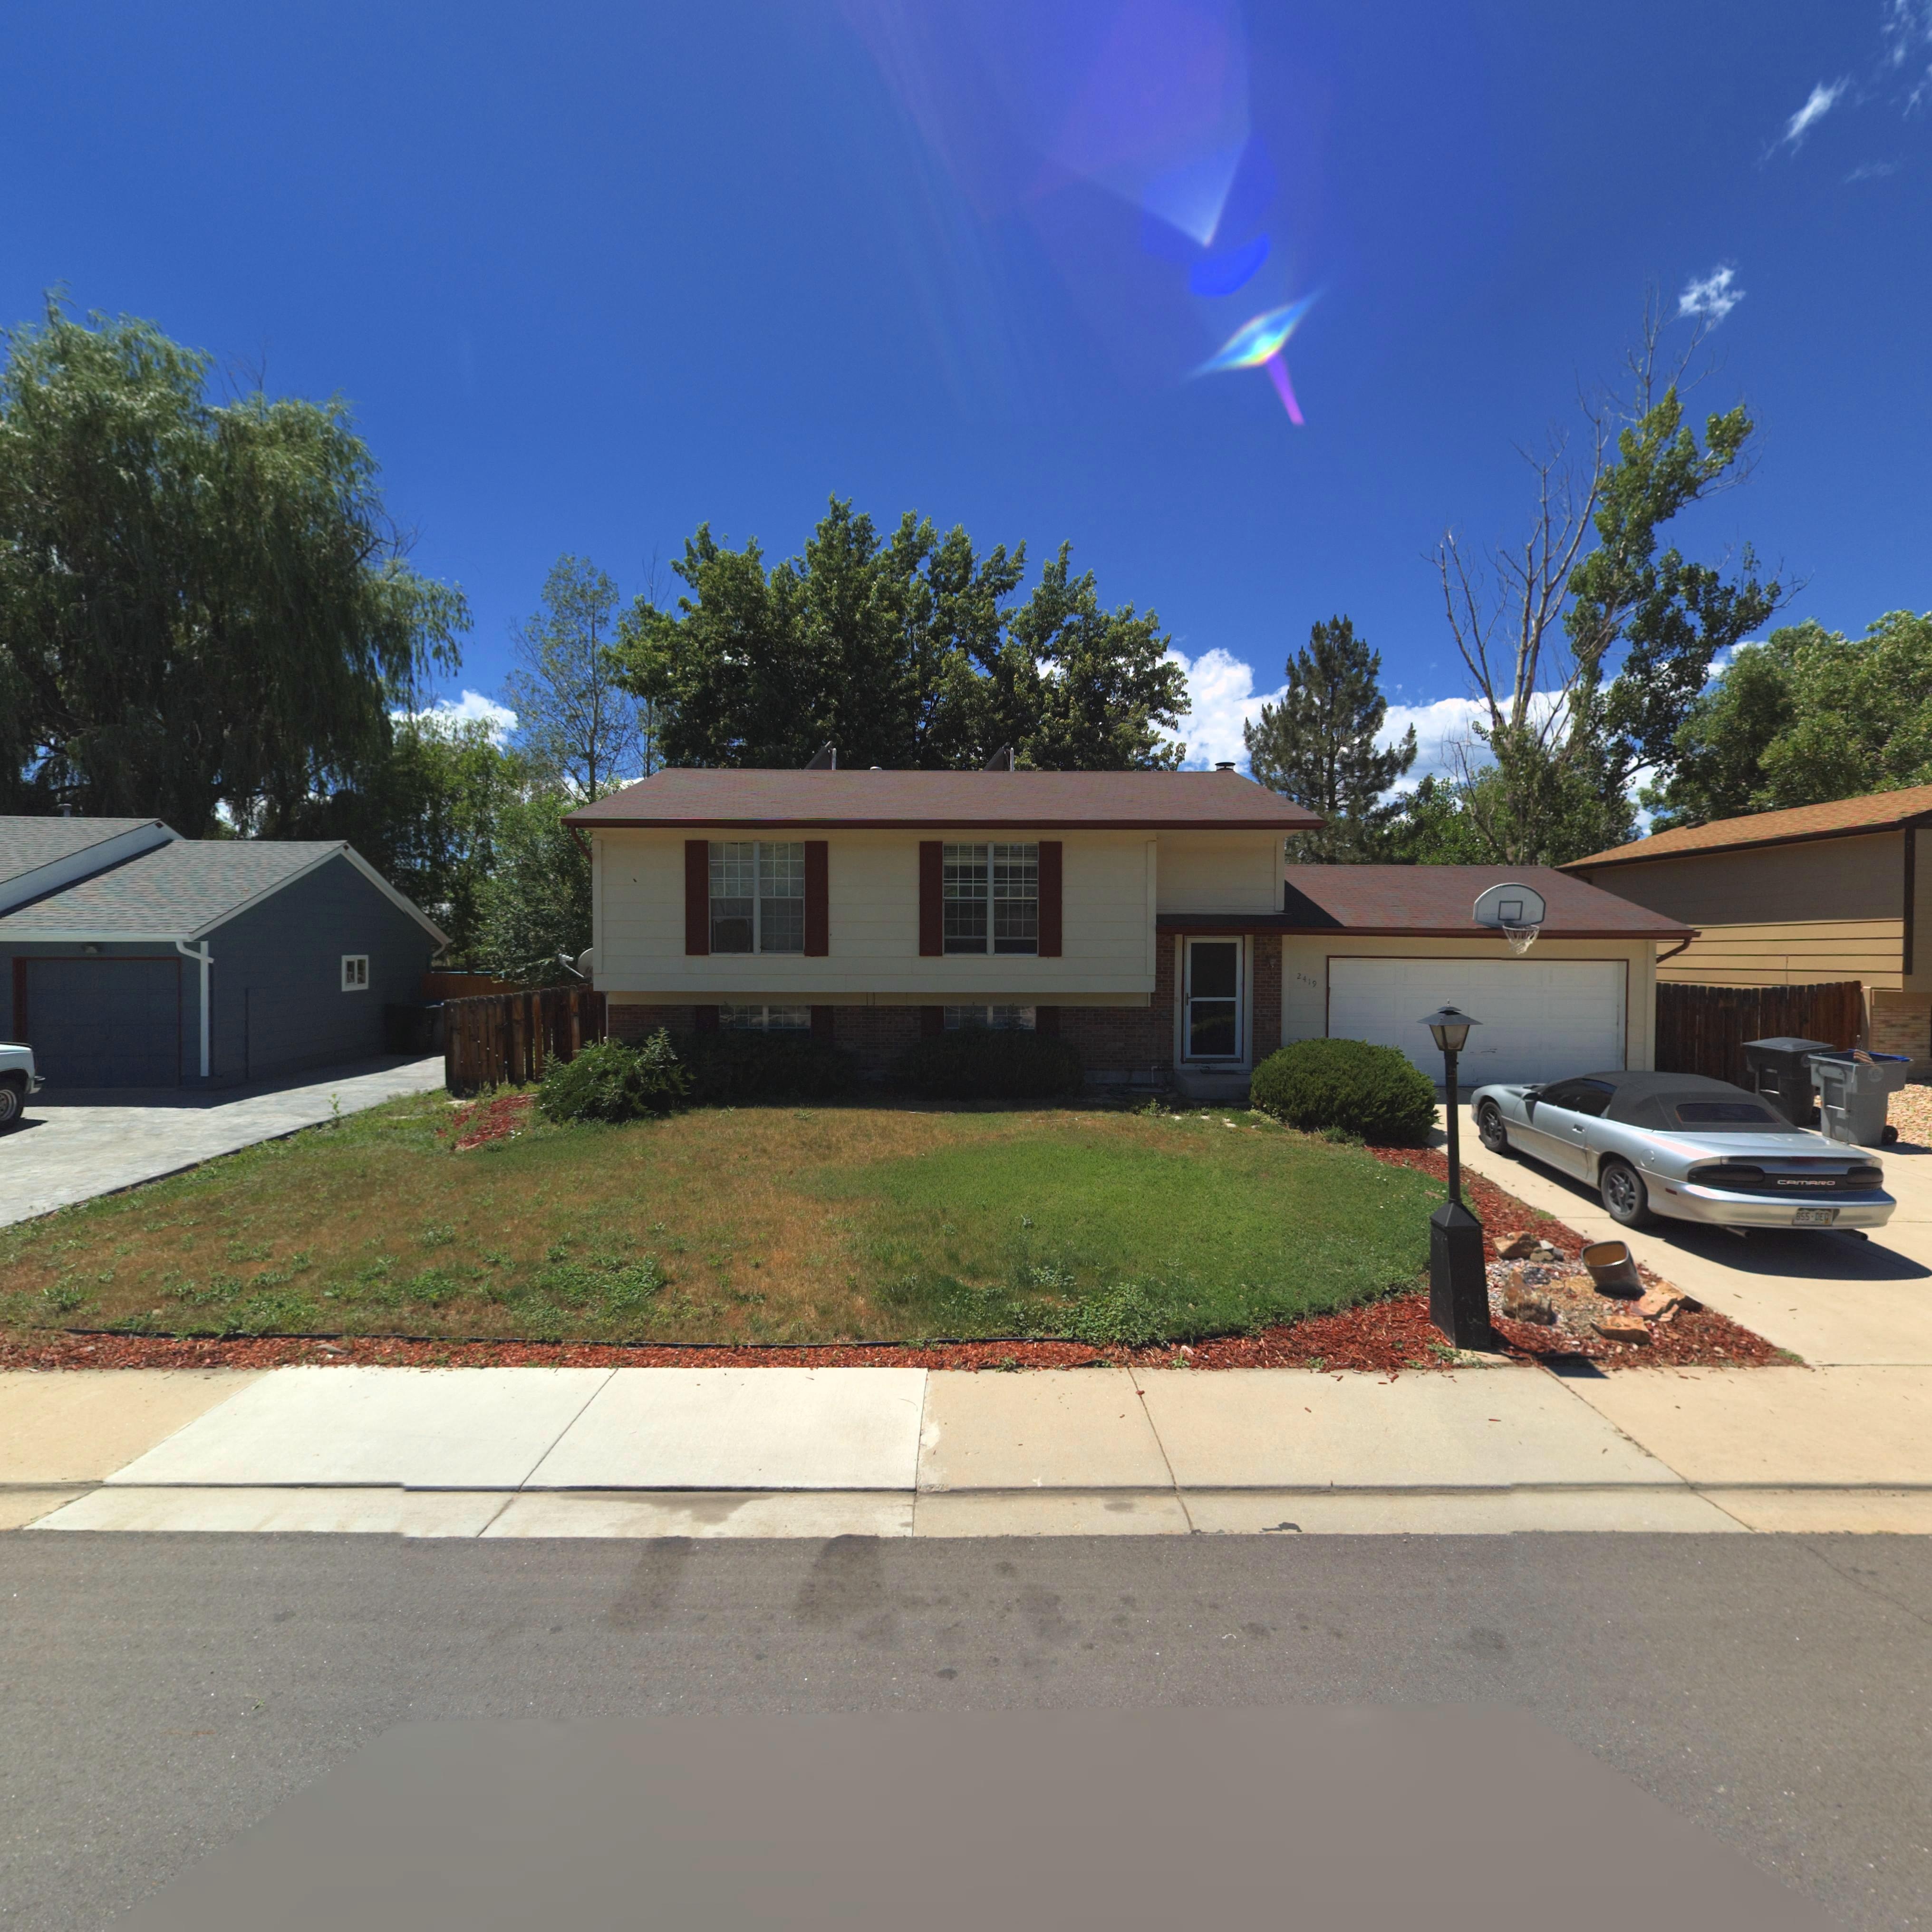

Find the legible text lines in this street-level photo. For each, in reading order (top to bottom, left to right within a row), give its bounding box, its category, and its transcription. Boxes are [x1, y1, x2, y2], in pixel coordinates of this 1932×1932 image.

[1297, 972, 1317, 987] StreetNumber: 2419